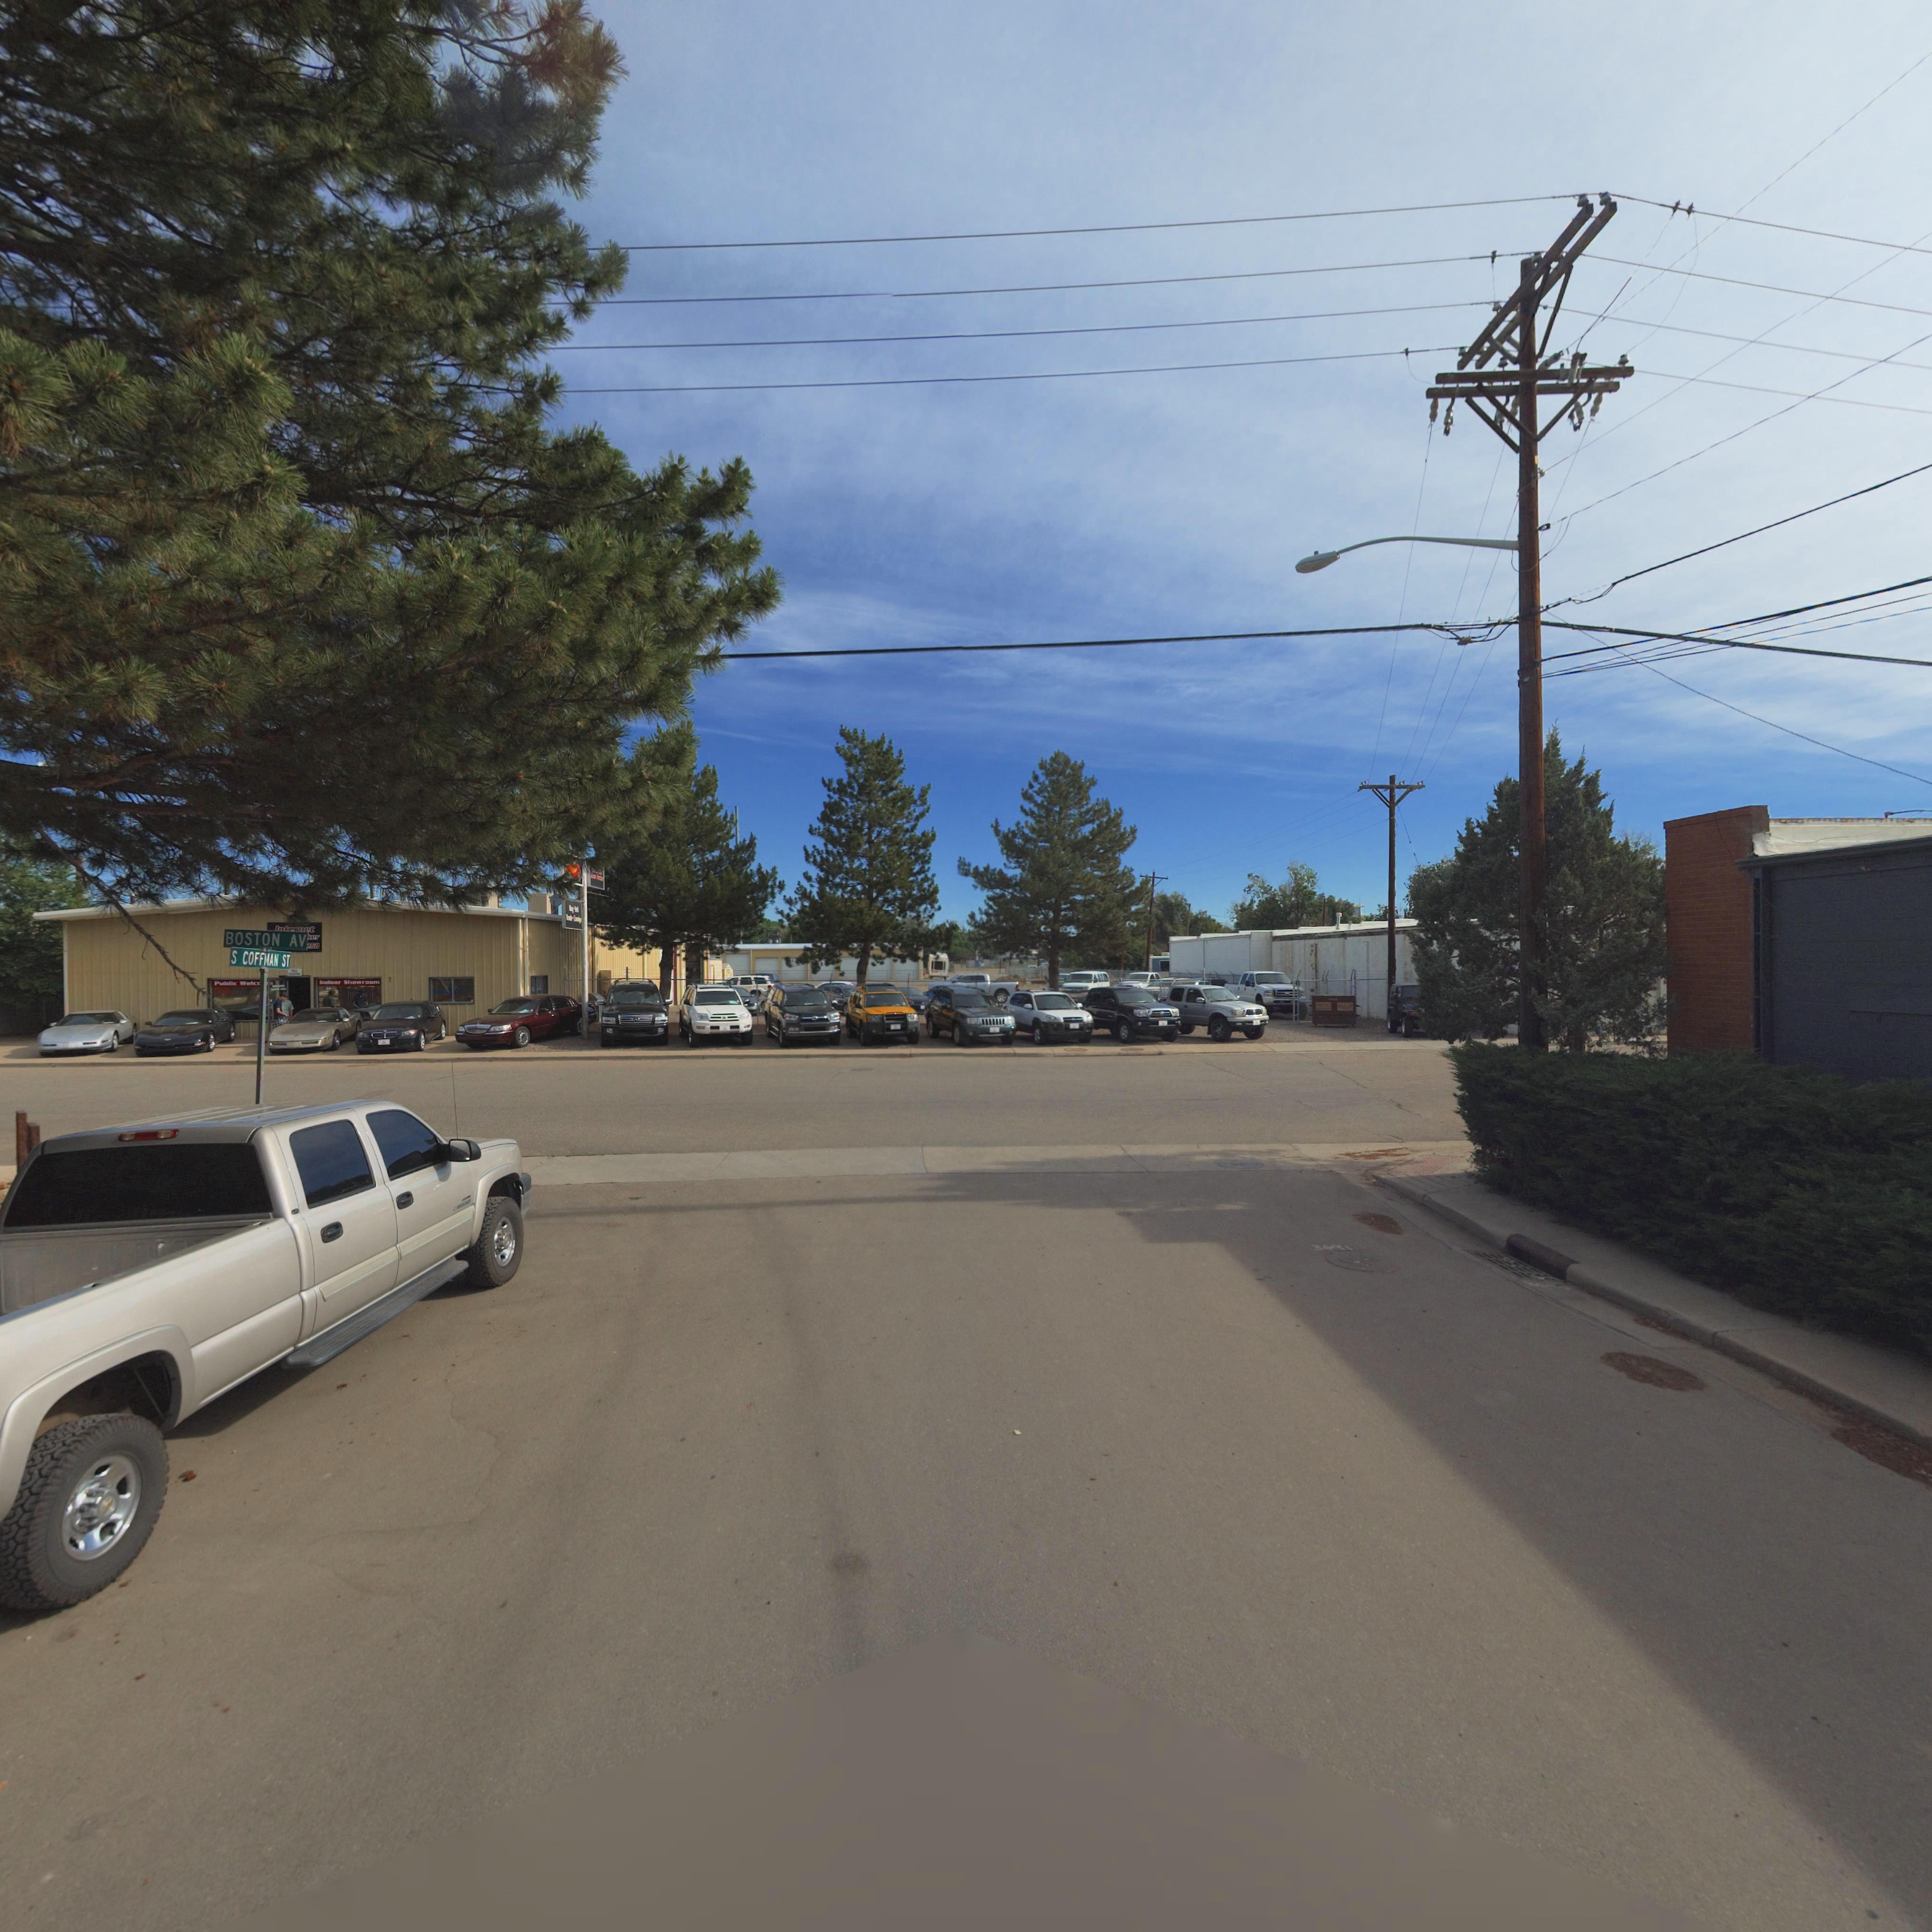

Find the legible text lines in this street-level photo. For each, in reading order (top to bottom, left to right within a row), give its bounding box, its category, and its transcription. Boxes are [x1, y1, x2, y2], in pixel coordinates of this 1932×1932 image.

[274, 924, 315, 932] BusinessName: Internet
[224, 929, 307, 948] StreetName: BOSTON AV
[230, 948, 291, 968] StreetName: S COFFMAN ST